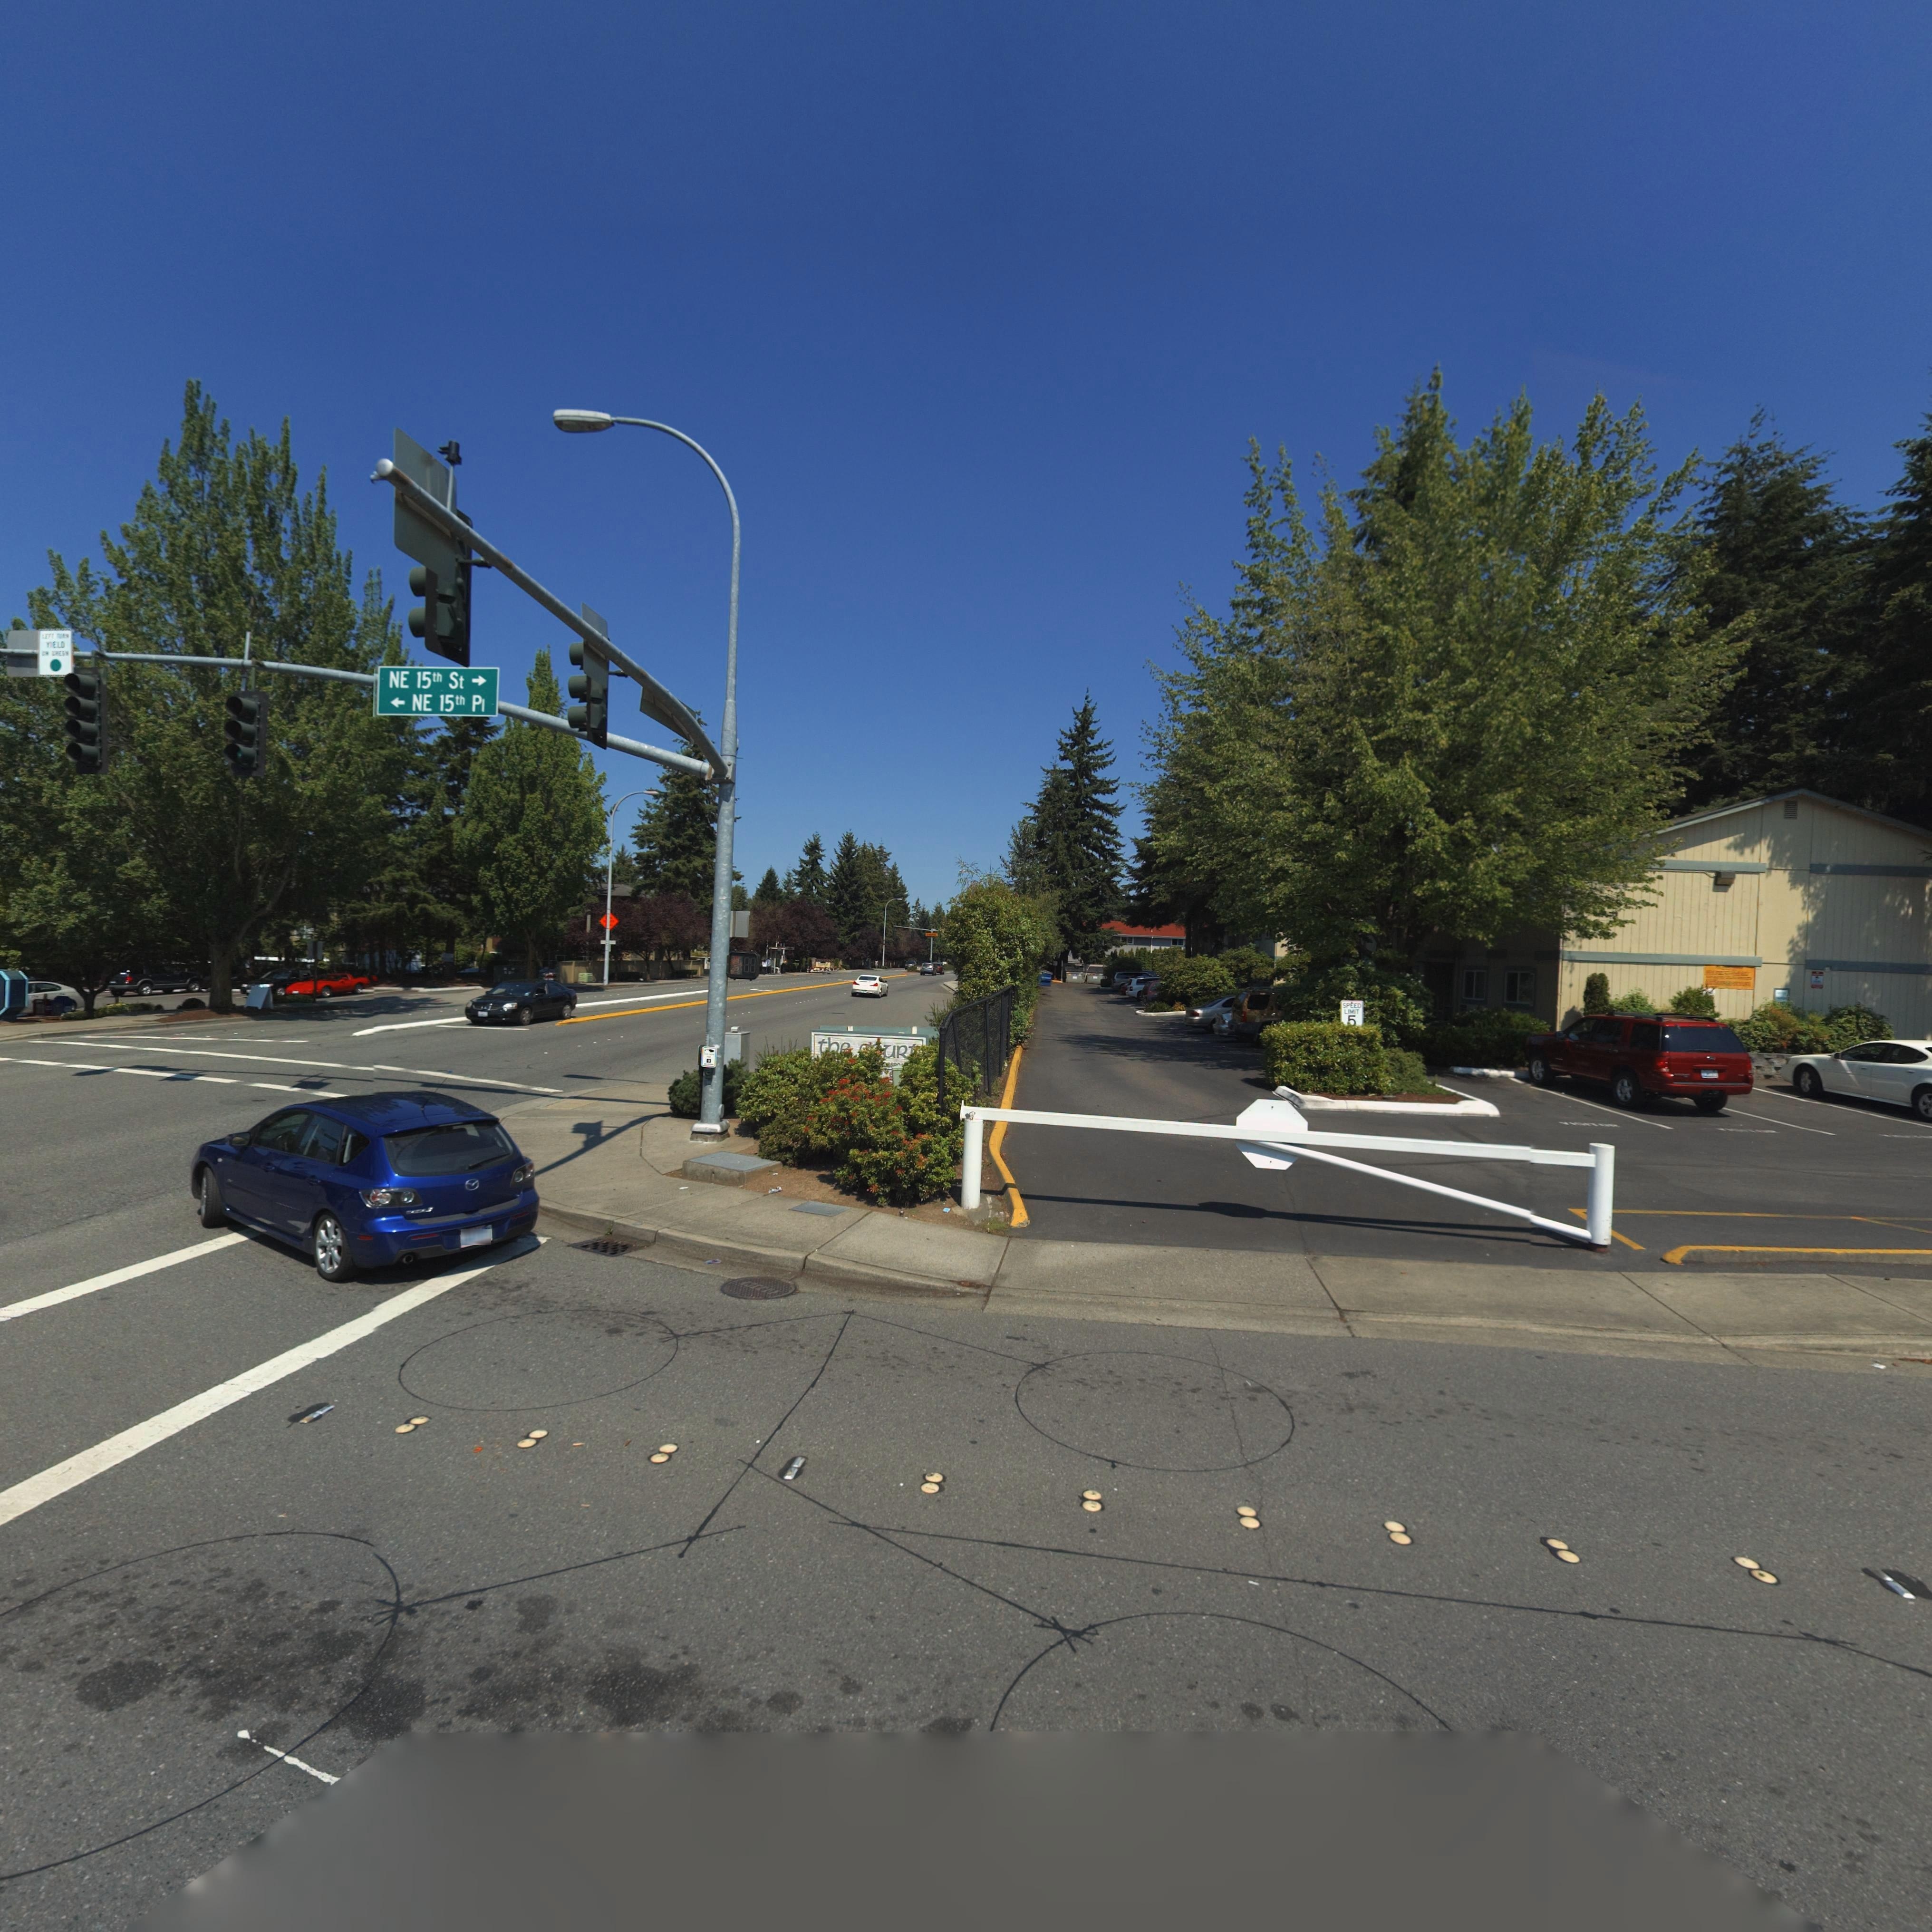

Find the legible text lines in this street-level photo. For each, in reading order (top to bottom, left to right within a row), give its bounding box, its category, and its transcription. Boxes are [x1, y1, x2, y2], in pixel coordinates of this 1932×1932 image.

[387, 671, 464, 689] StreetName: NE 15th St
[411, 693, 486, 712] StreetName: NE 15th Pl
[883, 1044, 908, 1059] BusinessName: uR